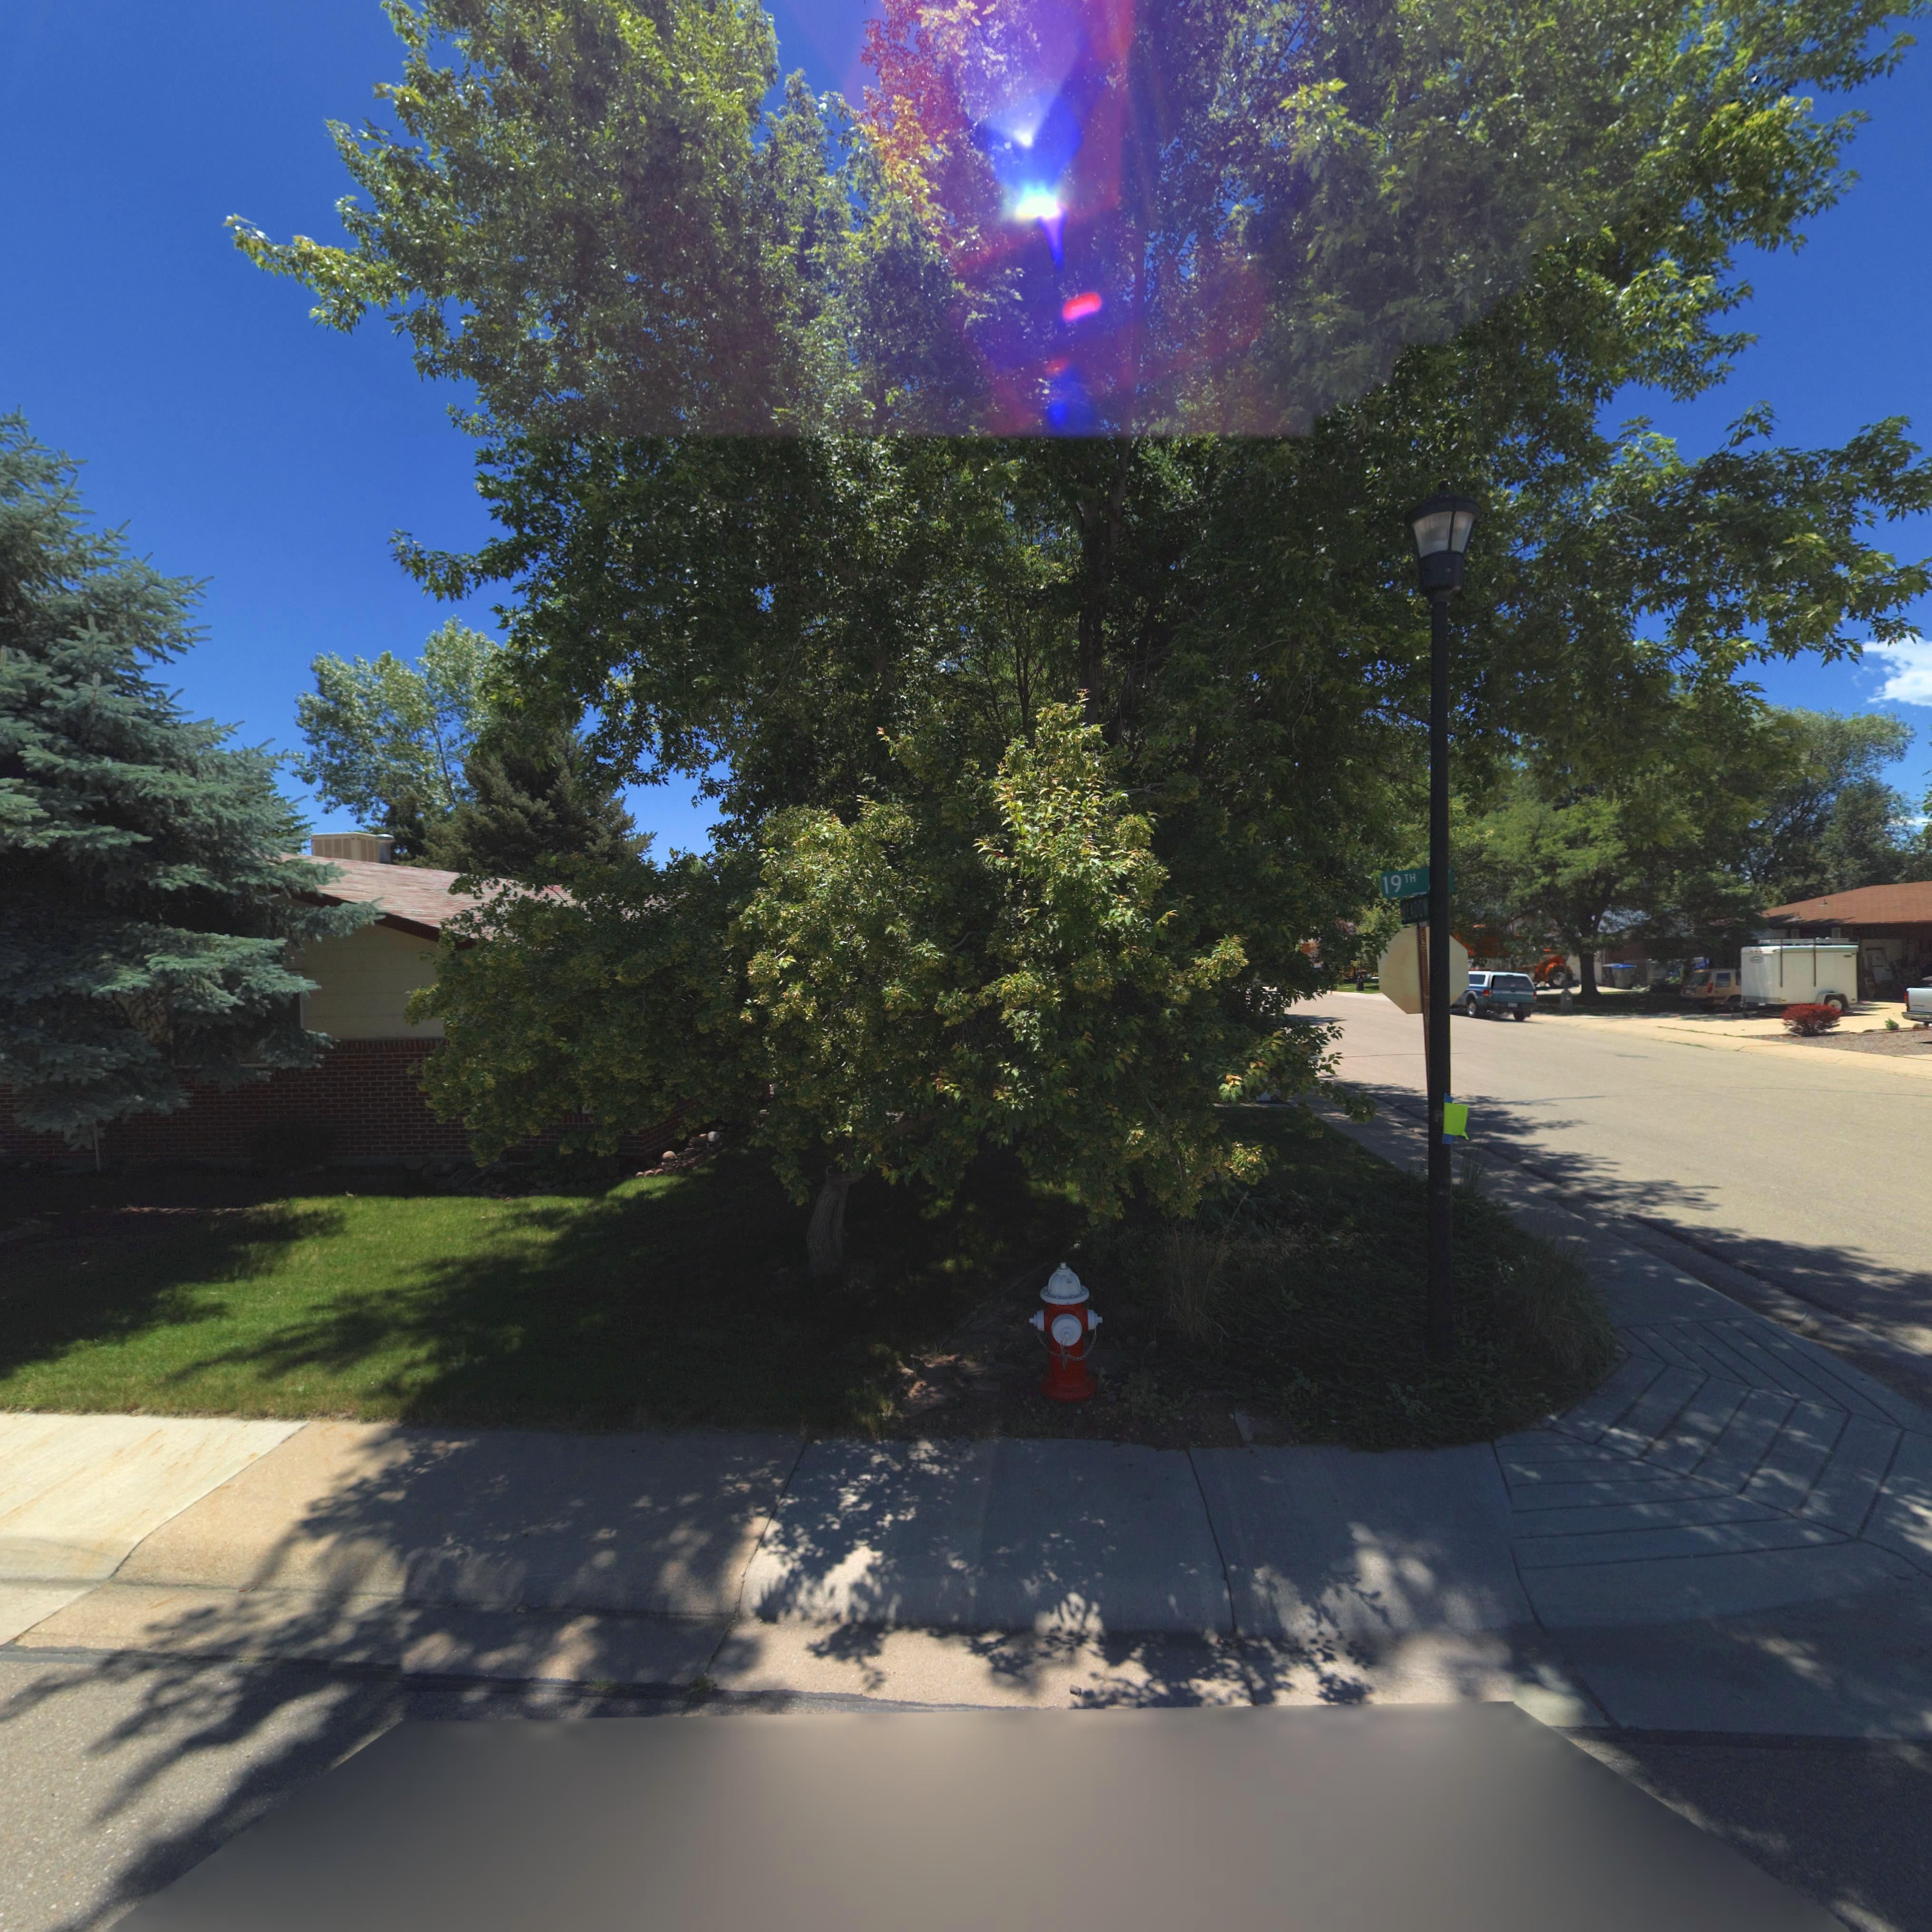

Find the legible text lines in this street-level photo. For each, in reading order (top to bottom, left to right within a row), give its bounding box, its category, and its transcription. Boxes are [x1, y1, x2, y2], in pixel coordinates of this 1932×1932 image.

[1382, 872, 1416, 893] StreetName: 19TH
[1399, 897, 1429, 922] StreetName: MEADOW